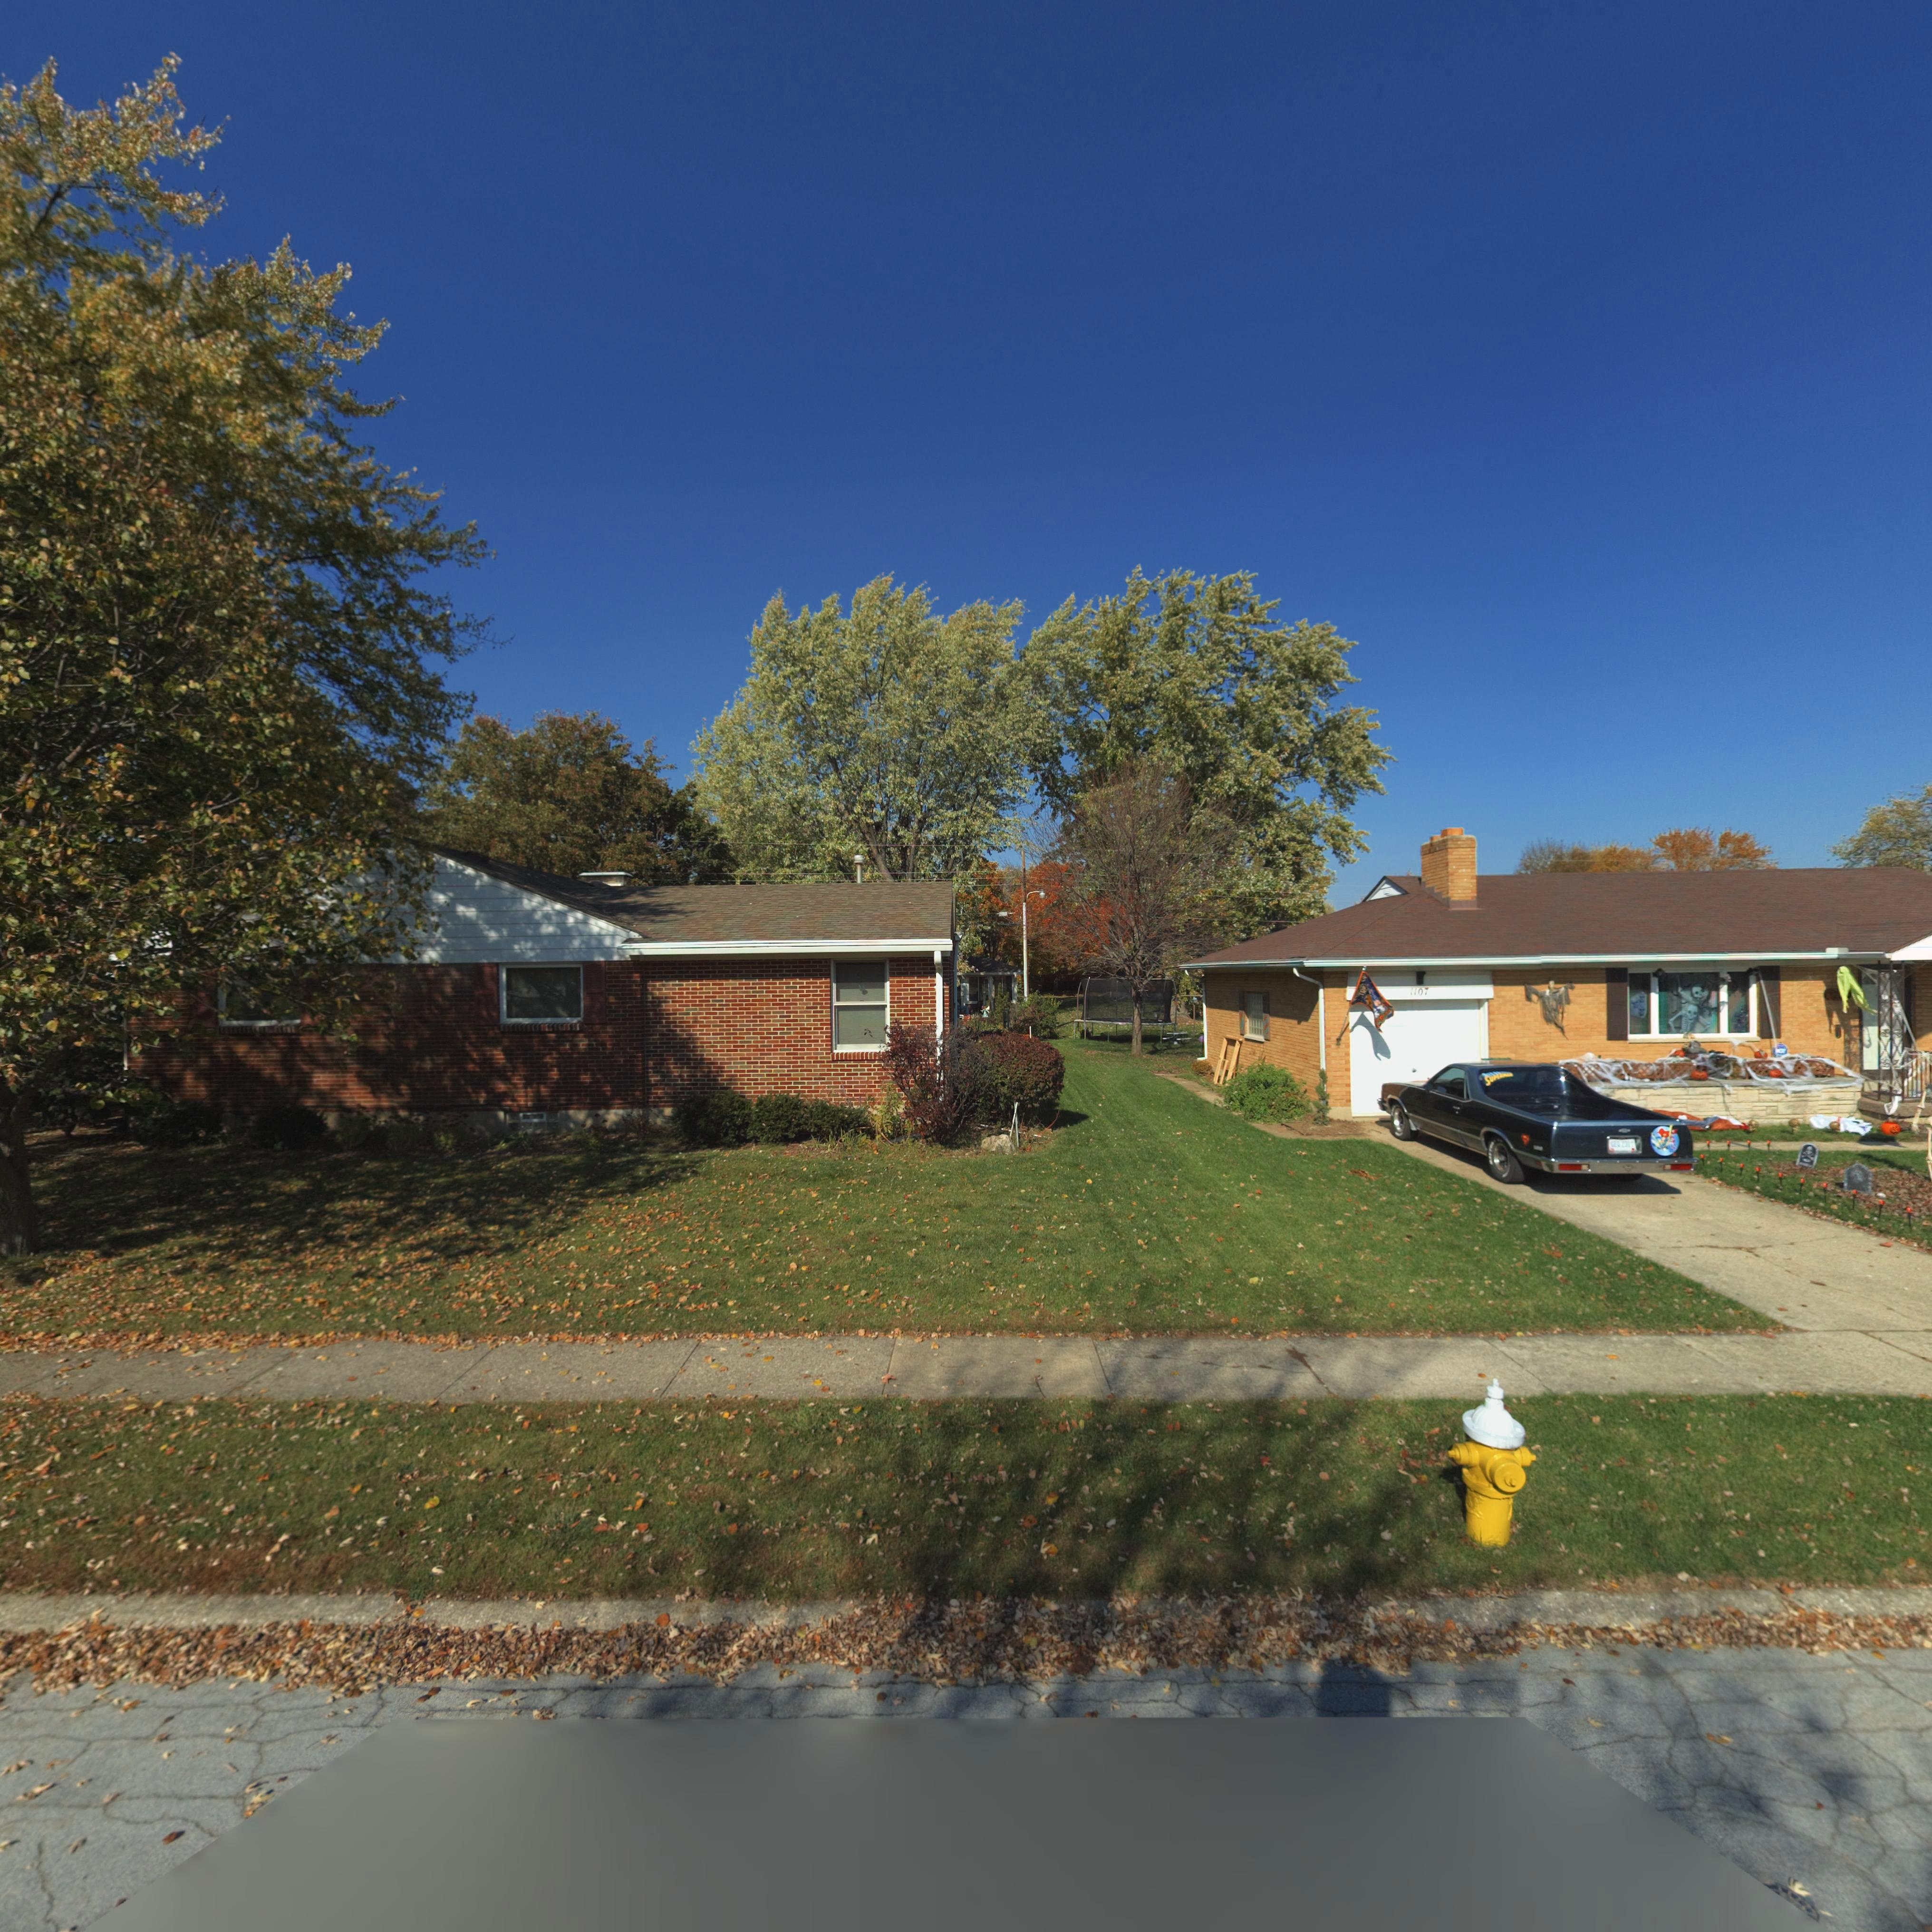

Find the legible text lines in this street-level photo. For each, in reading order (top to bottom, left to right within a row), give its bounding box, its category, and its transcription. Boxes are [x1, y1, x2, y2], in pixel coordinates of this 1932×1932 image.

[1410, 987, 1430, 995] StreetNumber: 1107
[1775, 1048, 1787, 1053] None: ADT
[1484, 1072, 1514, 1087] None: SUPERMAN
[1609, 1140, 1635, 1147] None: GEO2311